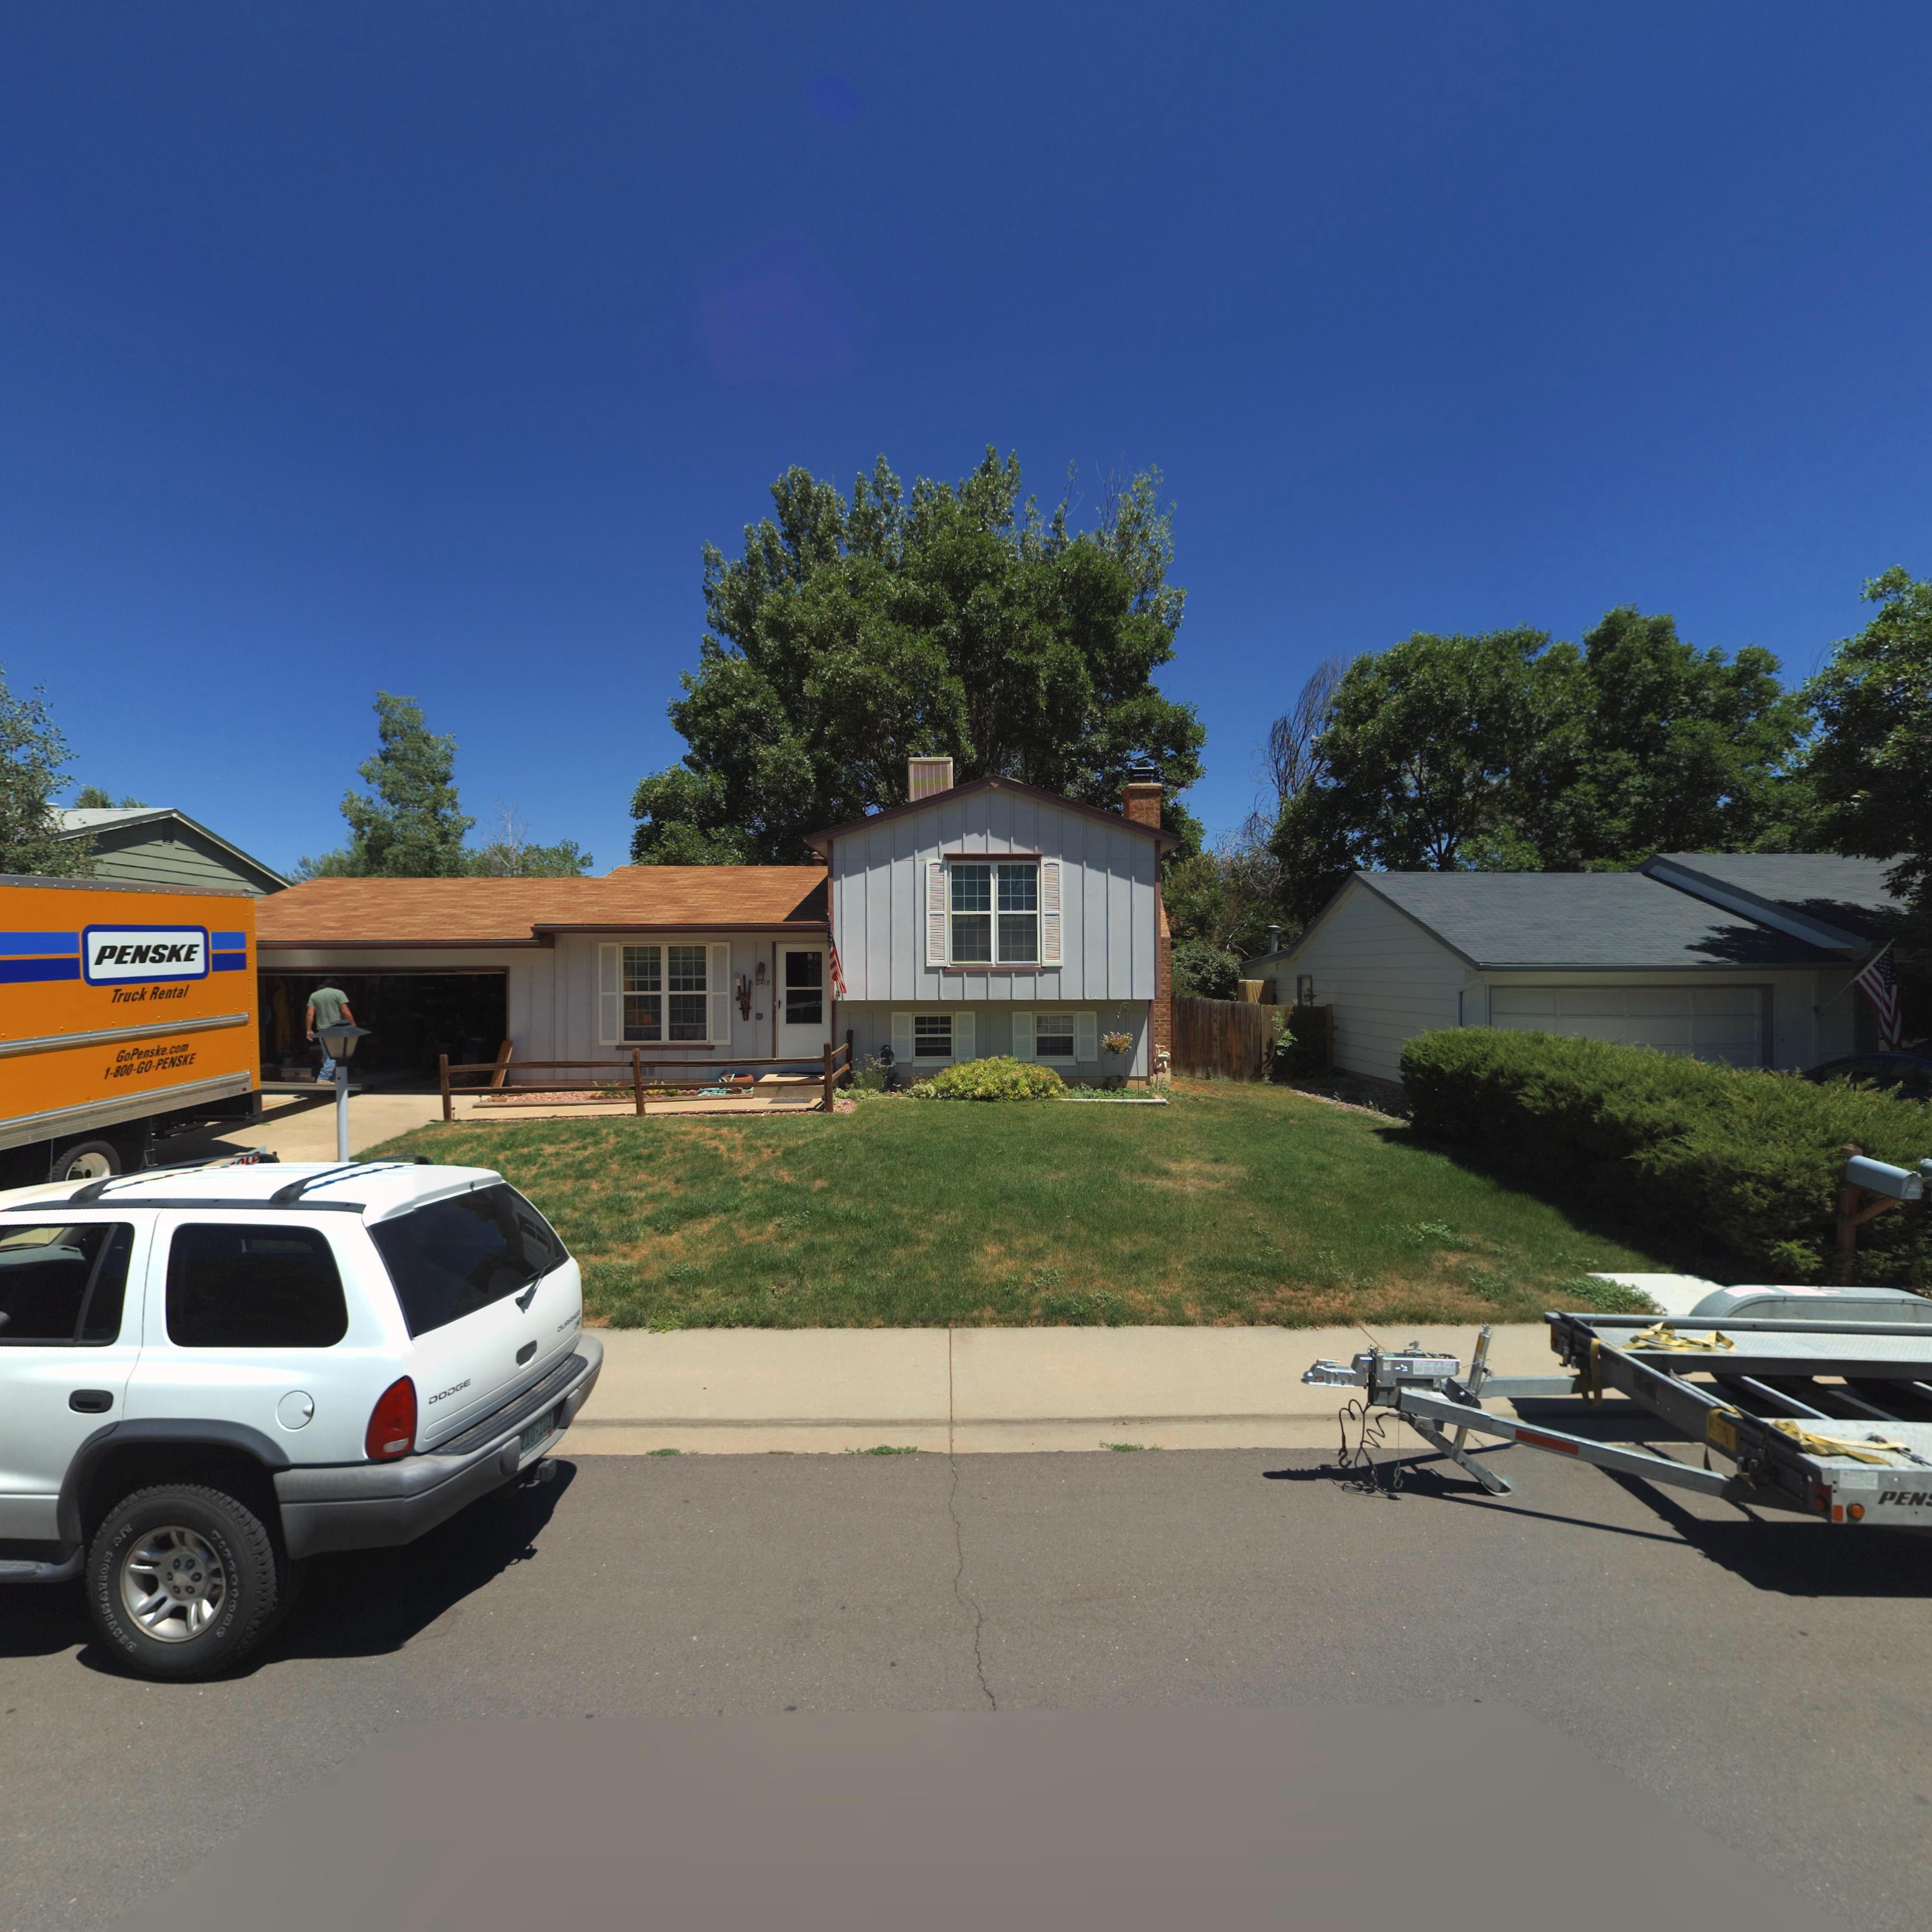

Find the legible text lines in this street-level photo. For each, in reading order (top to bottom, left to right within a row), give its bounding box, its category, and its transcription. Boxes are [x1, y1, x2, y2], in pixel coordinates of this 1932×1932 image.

[755, 979, 770, 985] StreetNumber: *418